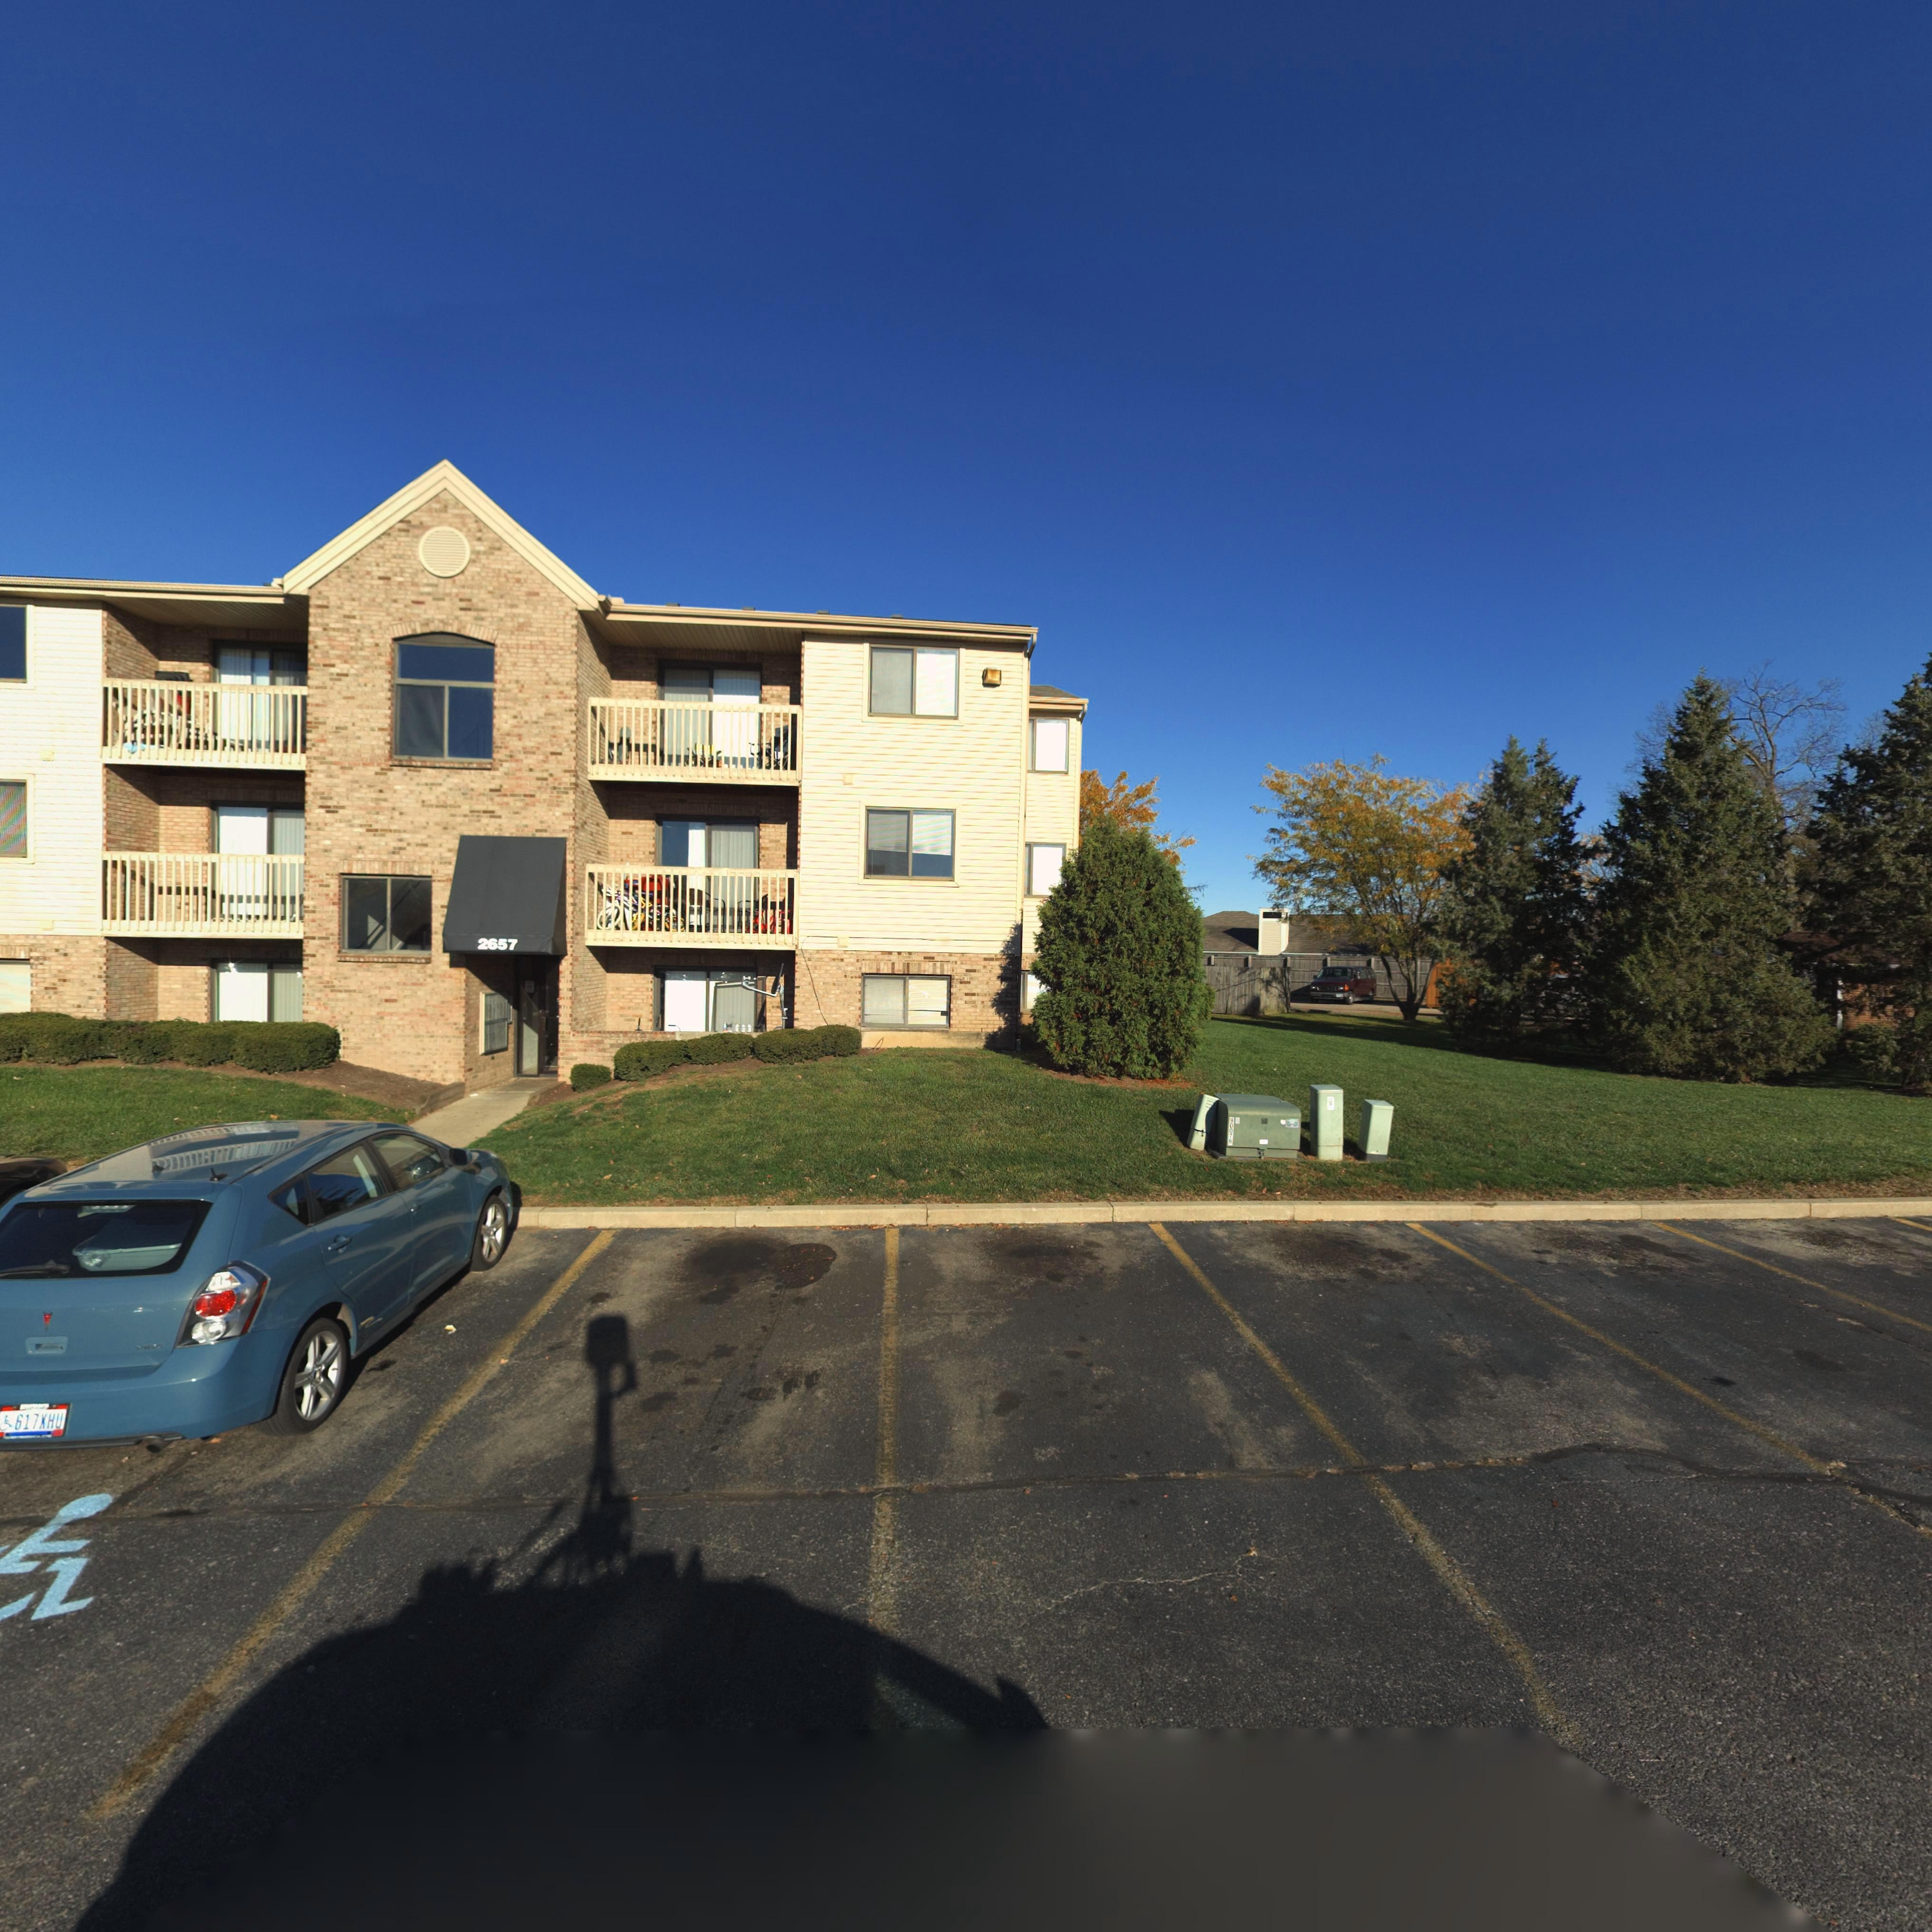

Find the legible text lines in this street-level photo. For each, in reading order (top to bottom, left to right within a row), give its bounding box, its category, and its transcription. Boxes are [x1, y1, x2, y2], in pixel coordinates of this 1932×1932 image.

[477, 937, 519, 951] StreetNumber: 2657